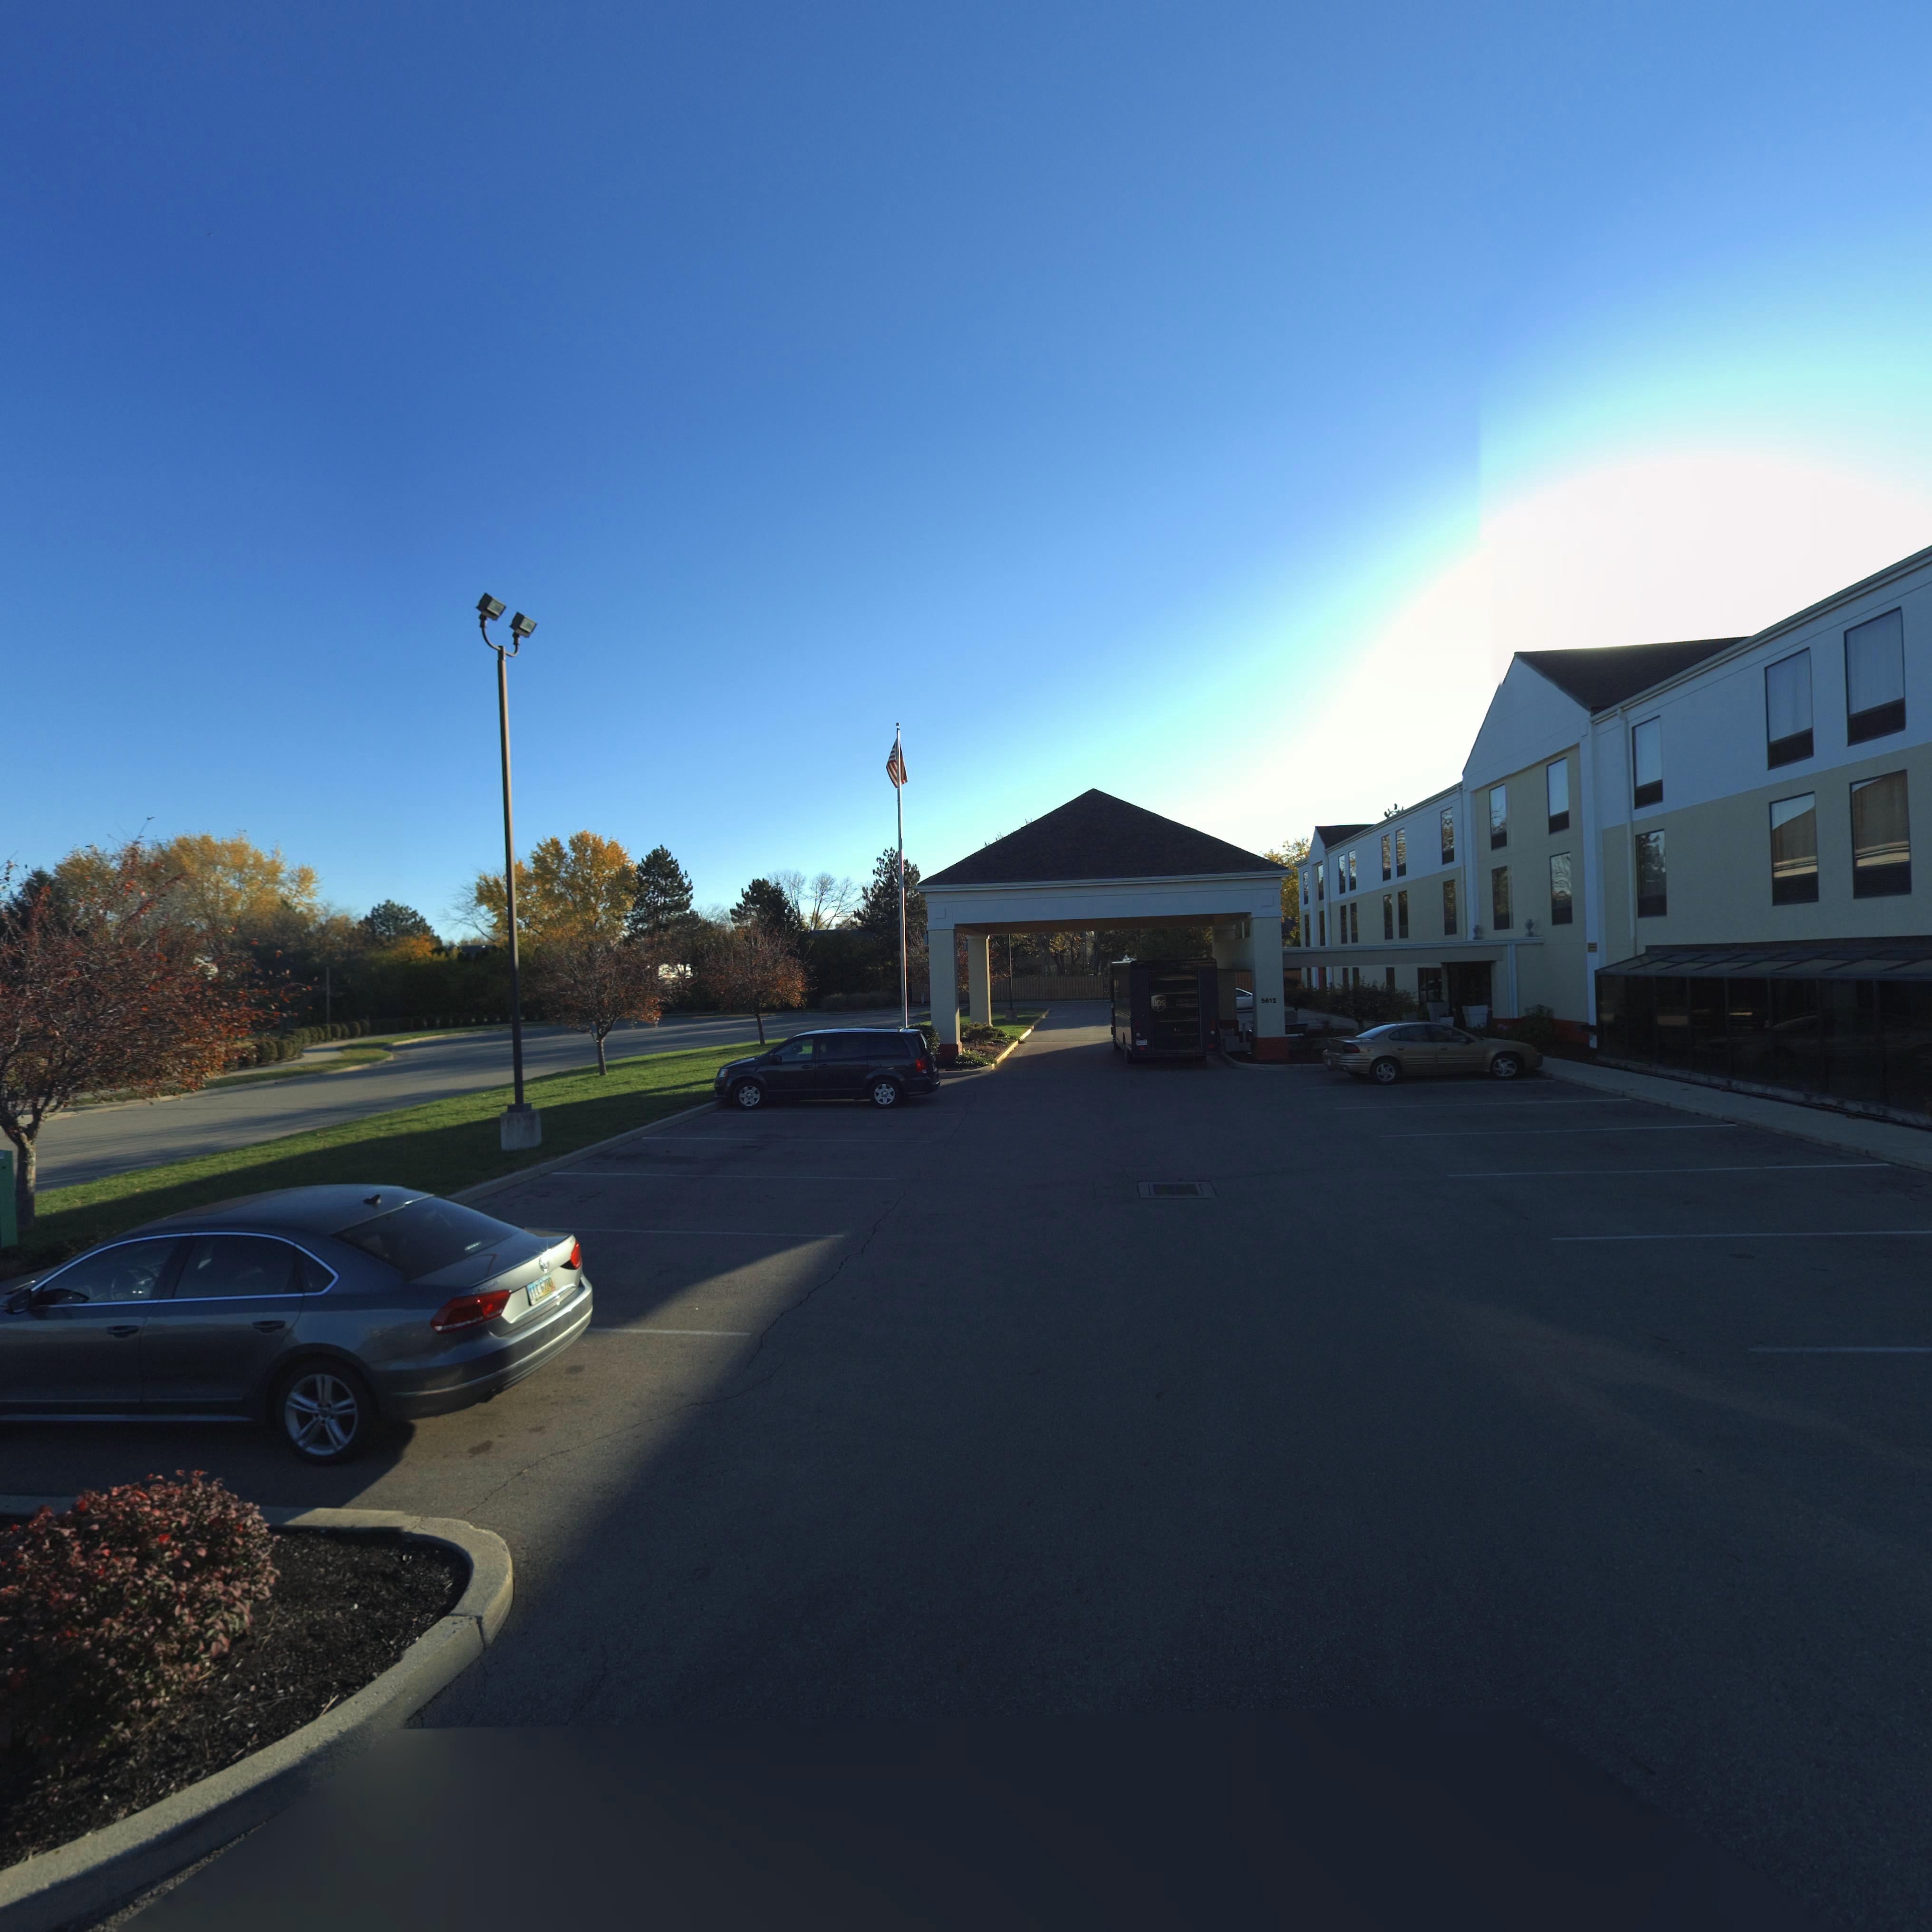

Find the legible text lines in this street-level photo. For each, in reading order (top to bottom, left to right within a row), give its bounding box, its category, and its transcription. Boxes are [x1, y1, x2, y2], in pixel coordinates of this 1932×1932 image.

[1260, 997, 1277, 1005] StreetNumber: 5612